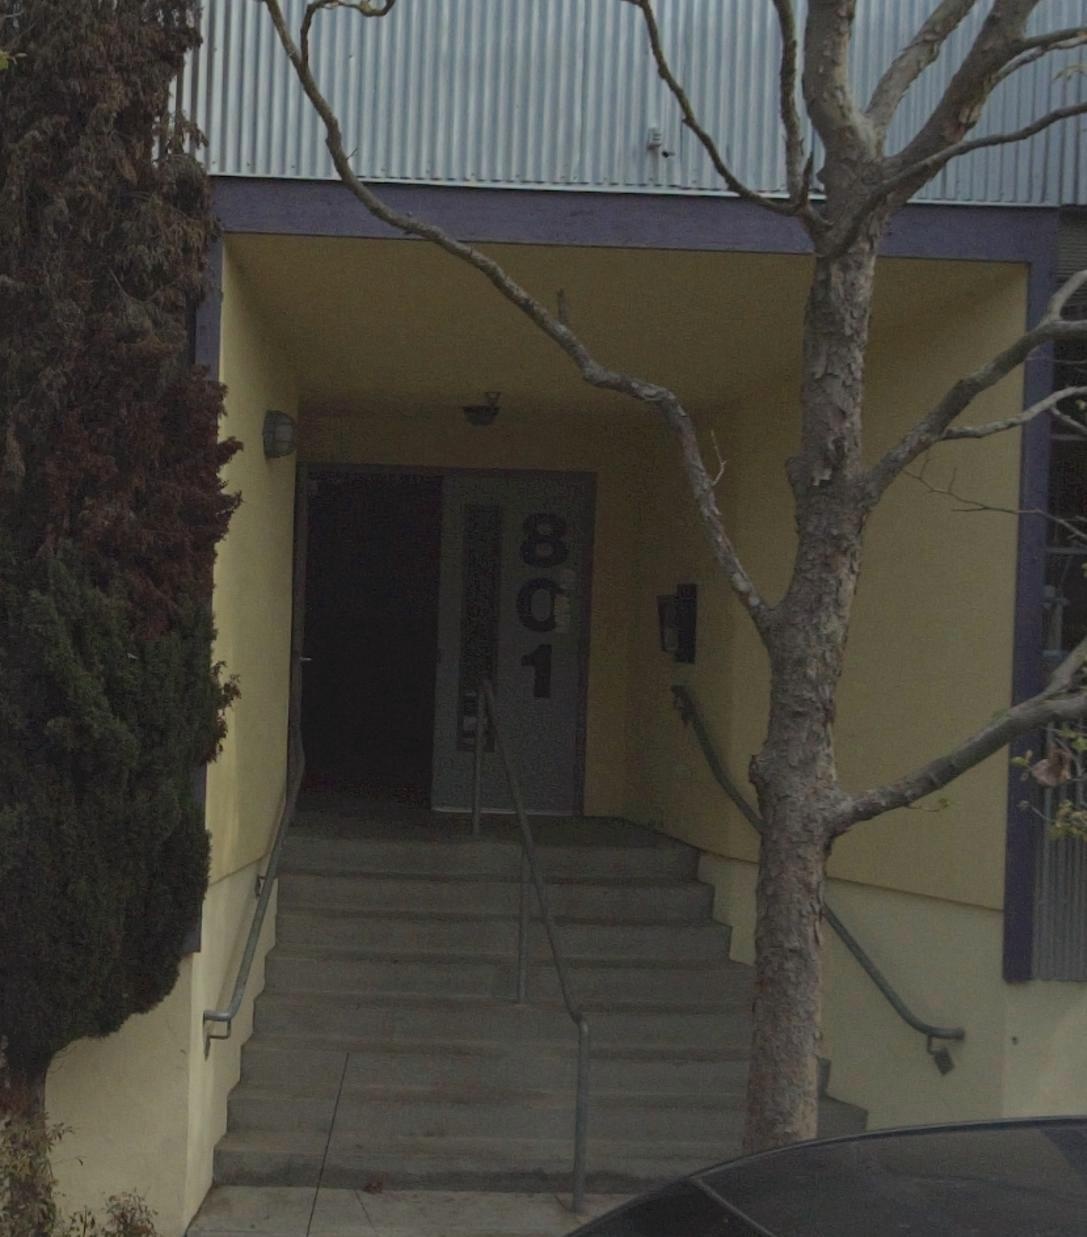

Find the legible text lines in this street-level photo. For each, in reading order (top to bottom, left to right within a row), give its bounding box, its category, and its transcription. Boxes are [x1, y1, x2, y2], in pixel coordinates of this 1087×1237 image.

[513, 509, 571, 705] StreetNumber: 801